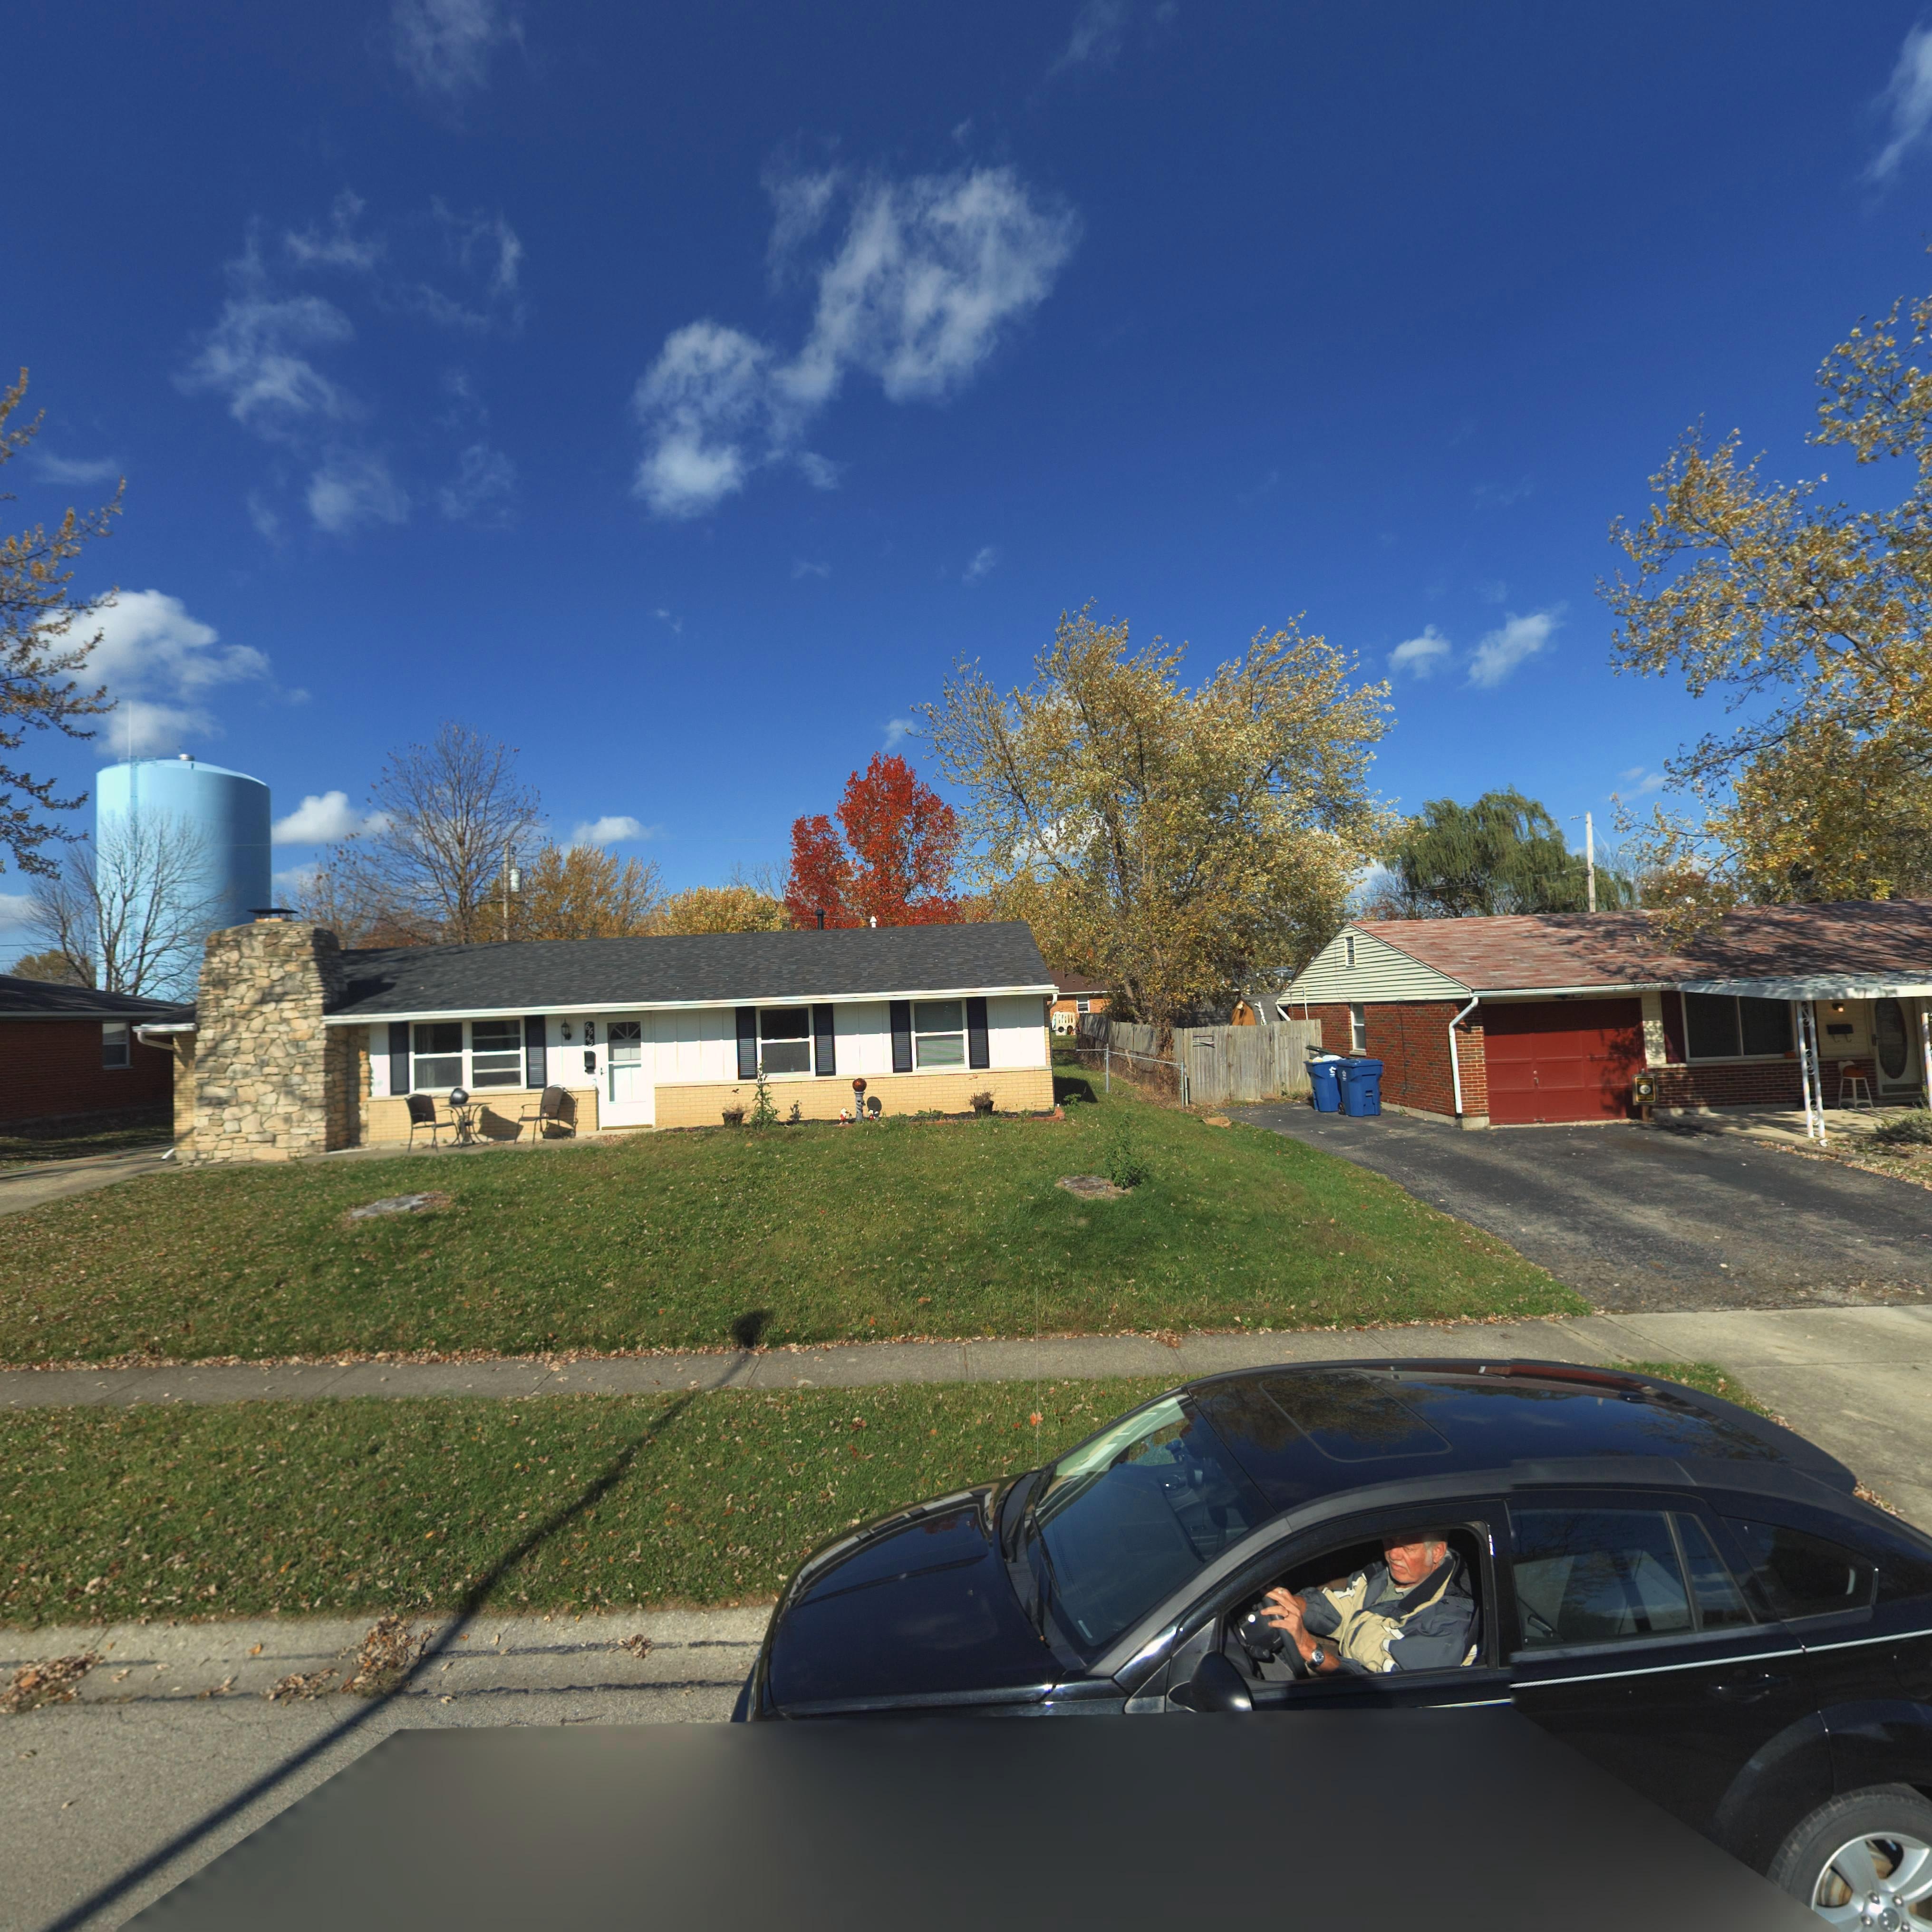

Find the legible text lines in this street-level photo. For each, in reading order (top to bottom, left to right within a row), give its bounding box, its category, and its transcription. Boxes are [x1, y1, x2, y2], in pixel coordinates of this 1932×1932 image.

[584, 1021, 594, 1036] StreetNumber: 66
[584, 1034, 594, 1047] StreetNumber: 45